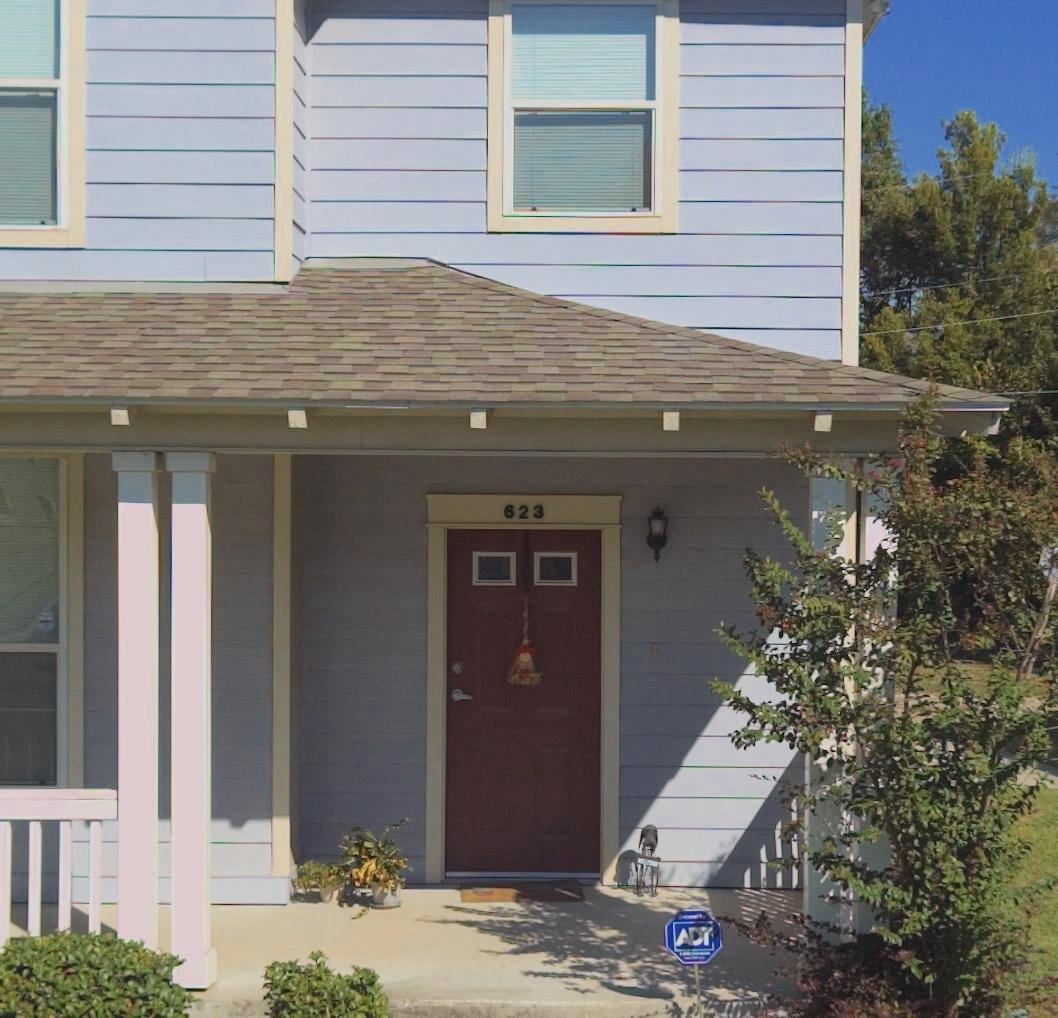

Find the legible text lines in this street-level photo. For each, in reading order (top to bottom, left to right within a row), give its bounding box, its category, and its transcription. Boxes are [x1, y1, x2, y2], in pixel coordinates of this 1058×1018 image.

[501, 502, 546, 522] StreetNumber: 623
[671, 924, 716, 949] None: ADT